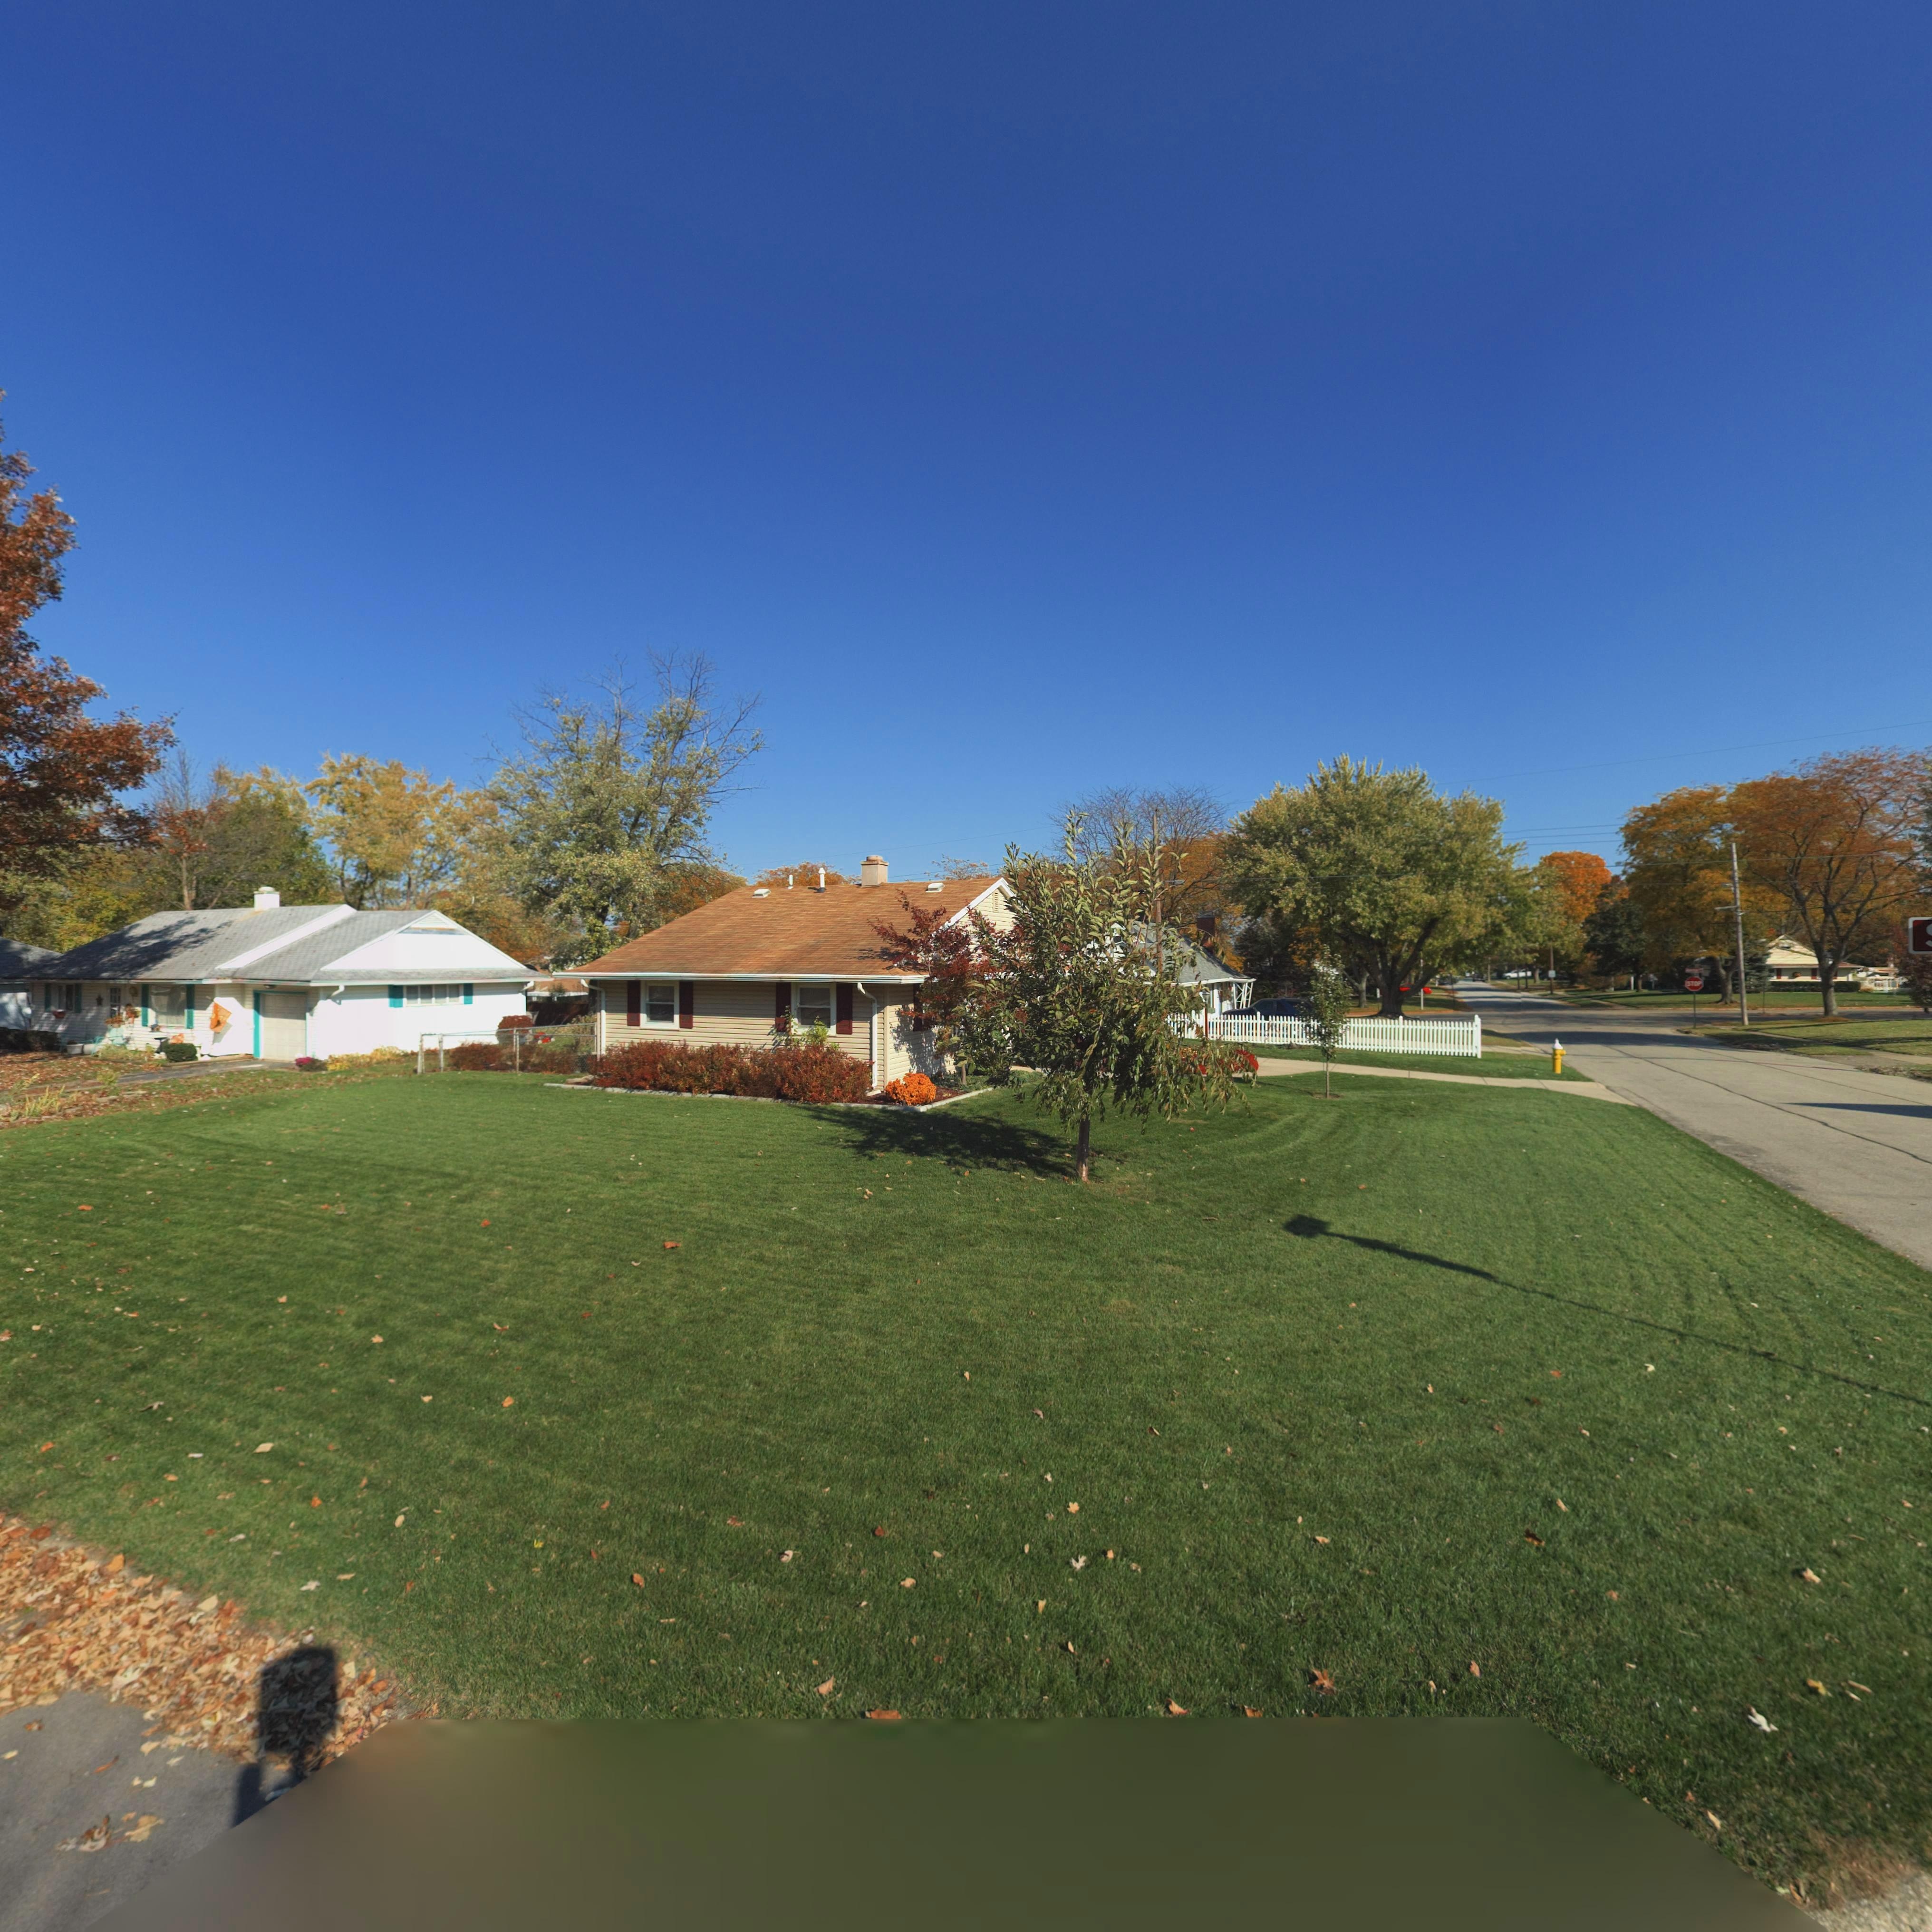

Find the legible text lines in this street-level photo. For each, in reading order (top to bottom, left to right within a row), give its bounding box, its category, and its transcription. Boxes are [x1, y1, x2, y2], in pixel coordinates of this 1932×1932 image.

[1687, 981, 1701, 986] None: STOP